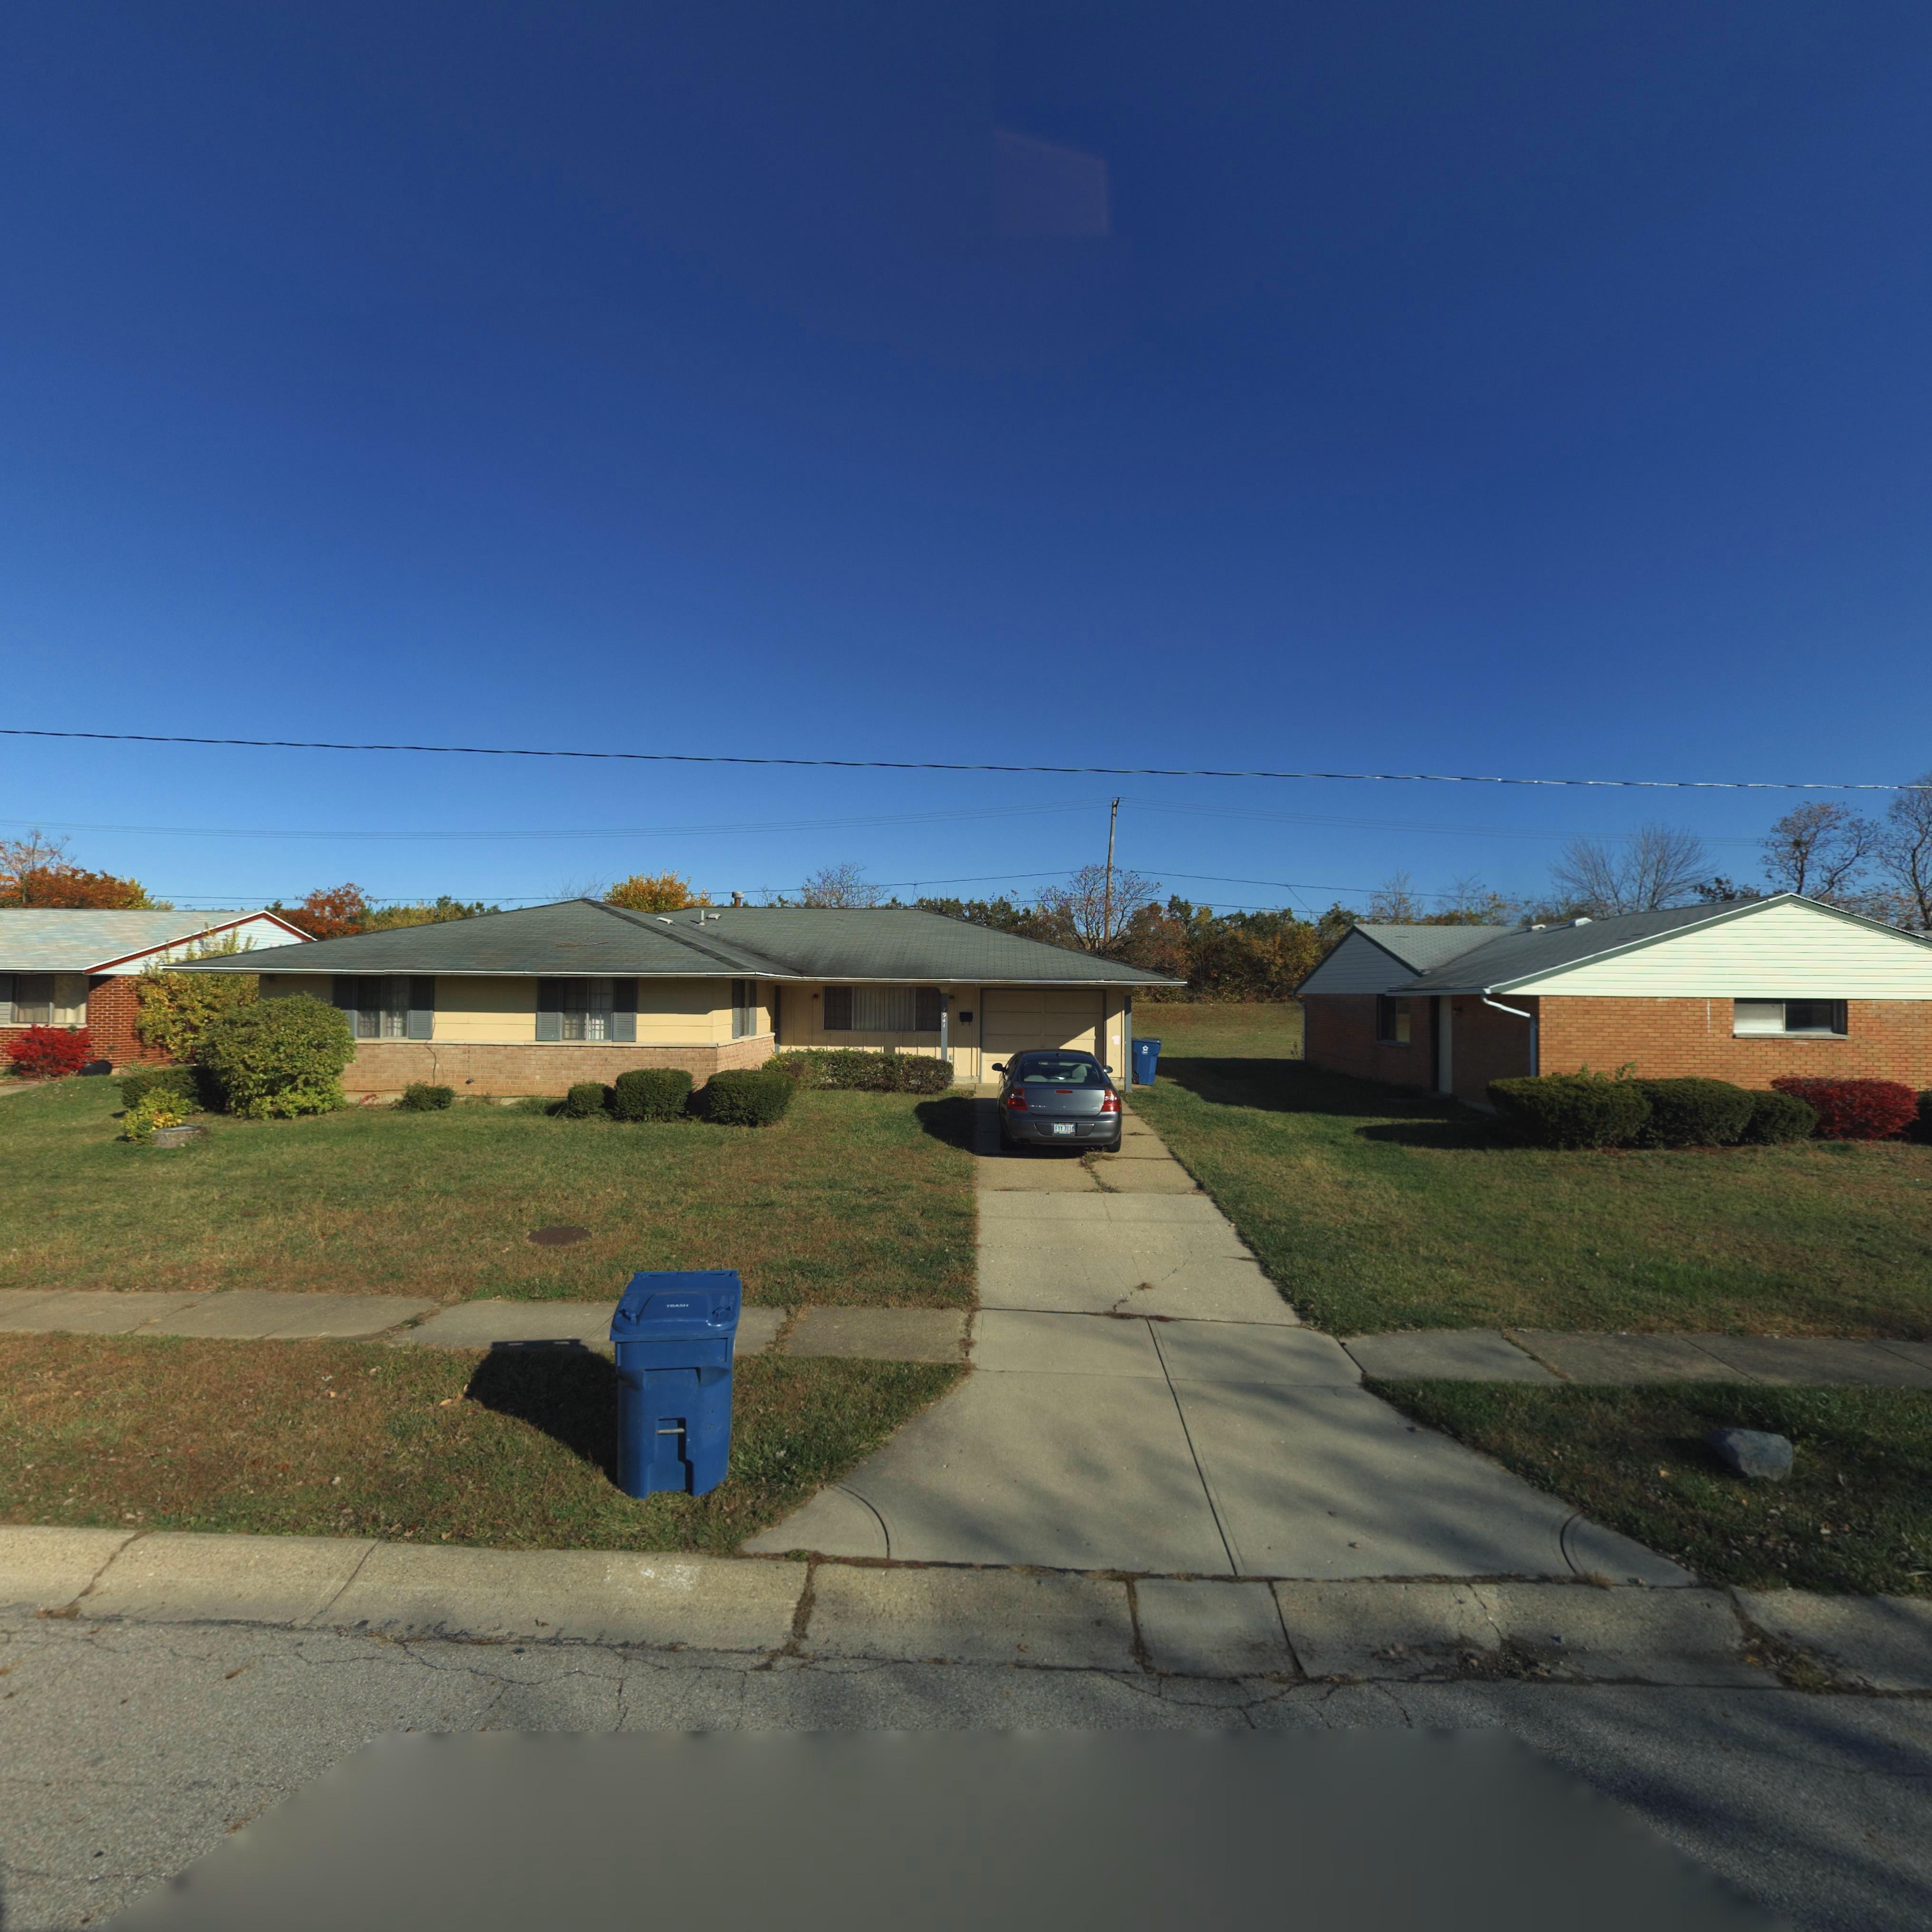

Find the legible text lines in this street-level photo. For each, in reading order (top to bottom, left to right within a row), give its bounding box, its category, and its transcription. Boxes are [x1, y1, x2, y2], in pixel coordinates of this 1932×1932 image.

[941, 1006, 947, 1029] StreetNumber: 7941